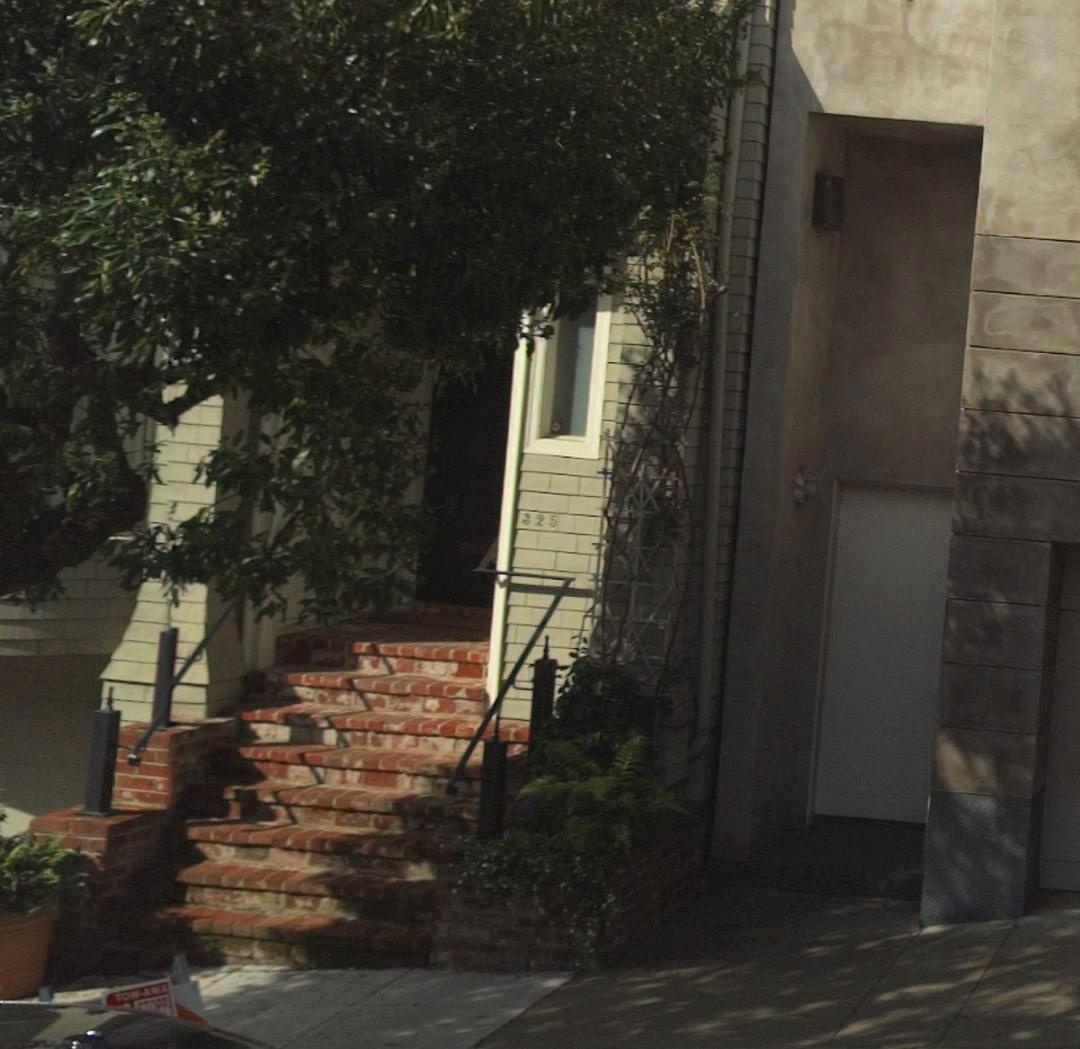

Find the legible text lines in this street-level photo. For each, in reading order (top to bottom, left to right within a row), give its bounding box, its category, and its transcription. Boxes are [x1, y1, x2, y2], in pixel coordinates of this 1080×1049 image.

[518, 509, 561, 530] StreetNumber: 325